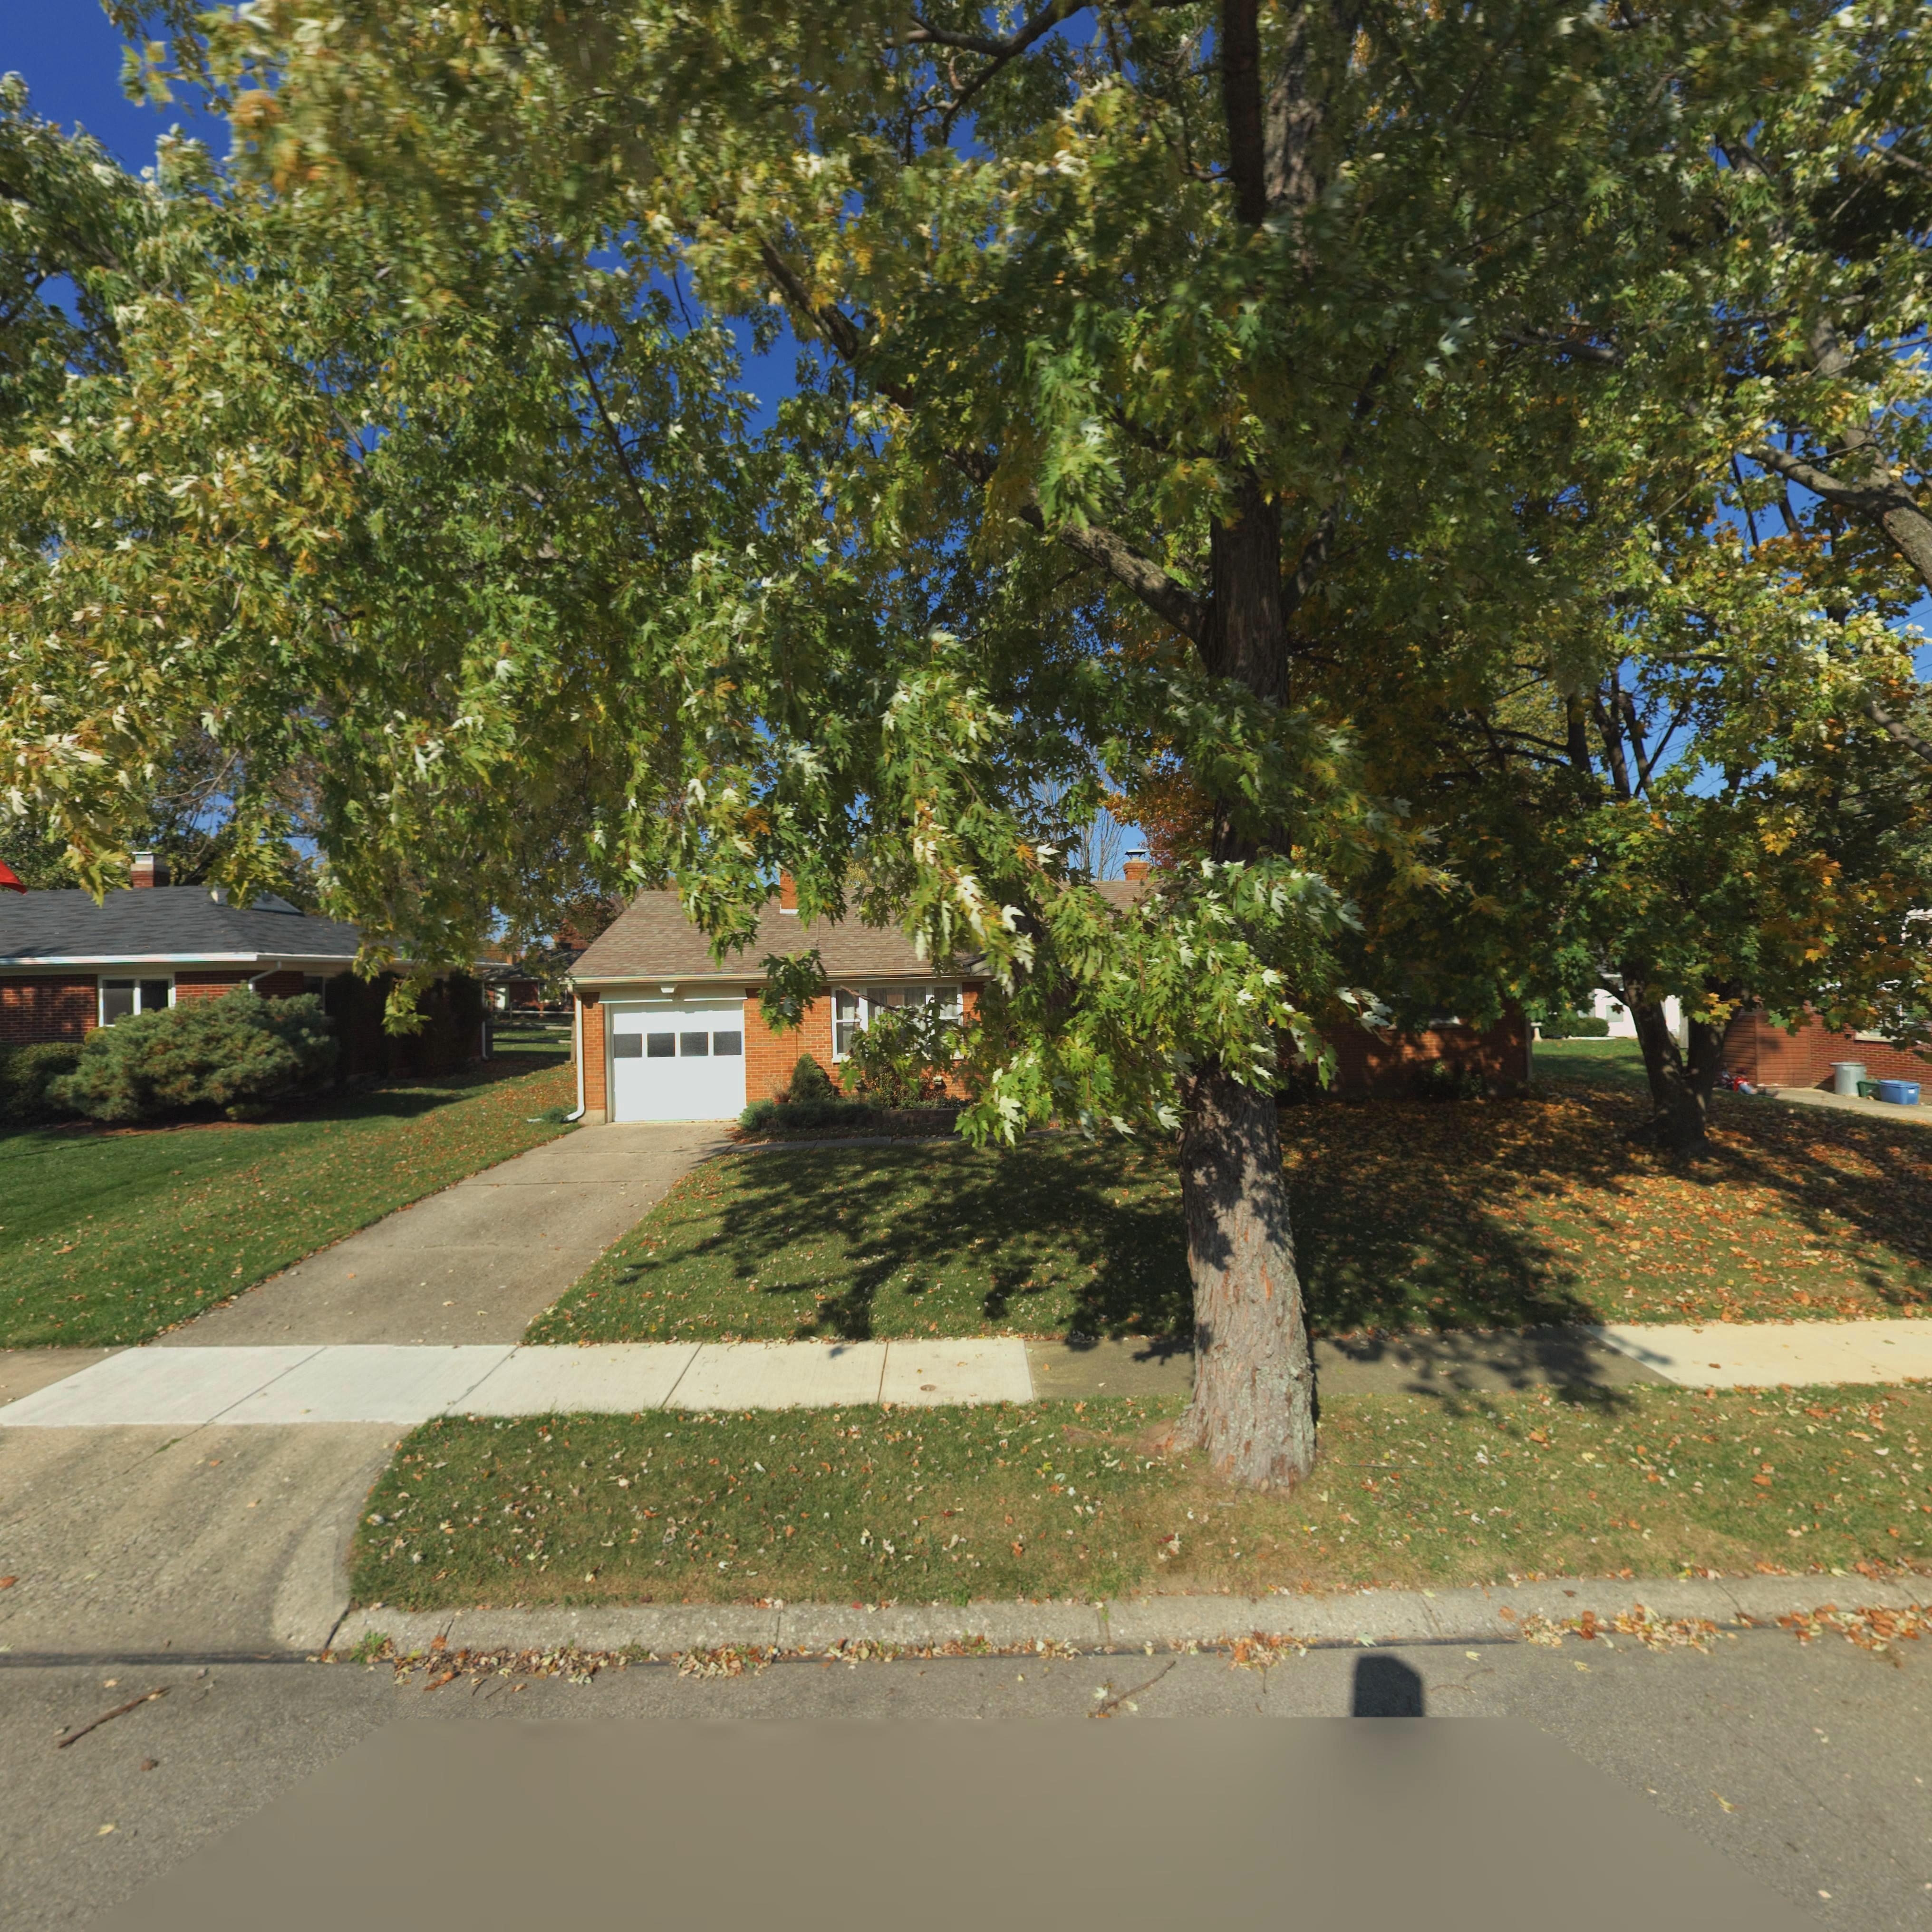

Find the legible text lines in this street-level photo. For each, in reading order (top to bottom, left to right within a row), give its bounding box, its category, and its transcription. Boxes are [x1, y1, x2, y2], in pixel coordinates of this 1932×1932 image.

[665, 993, 681, 999] StreetNumber: 1071